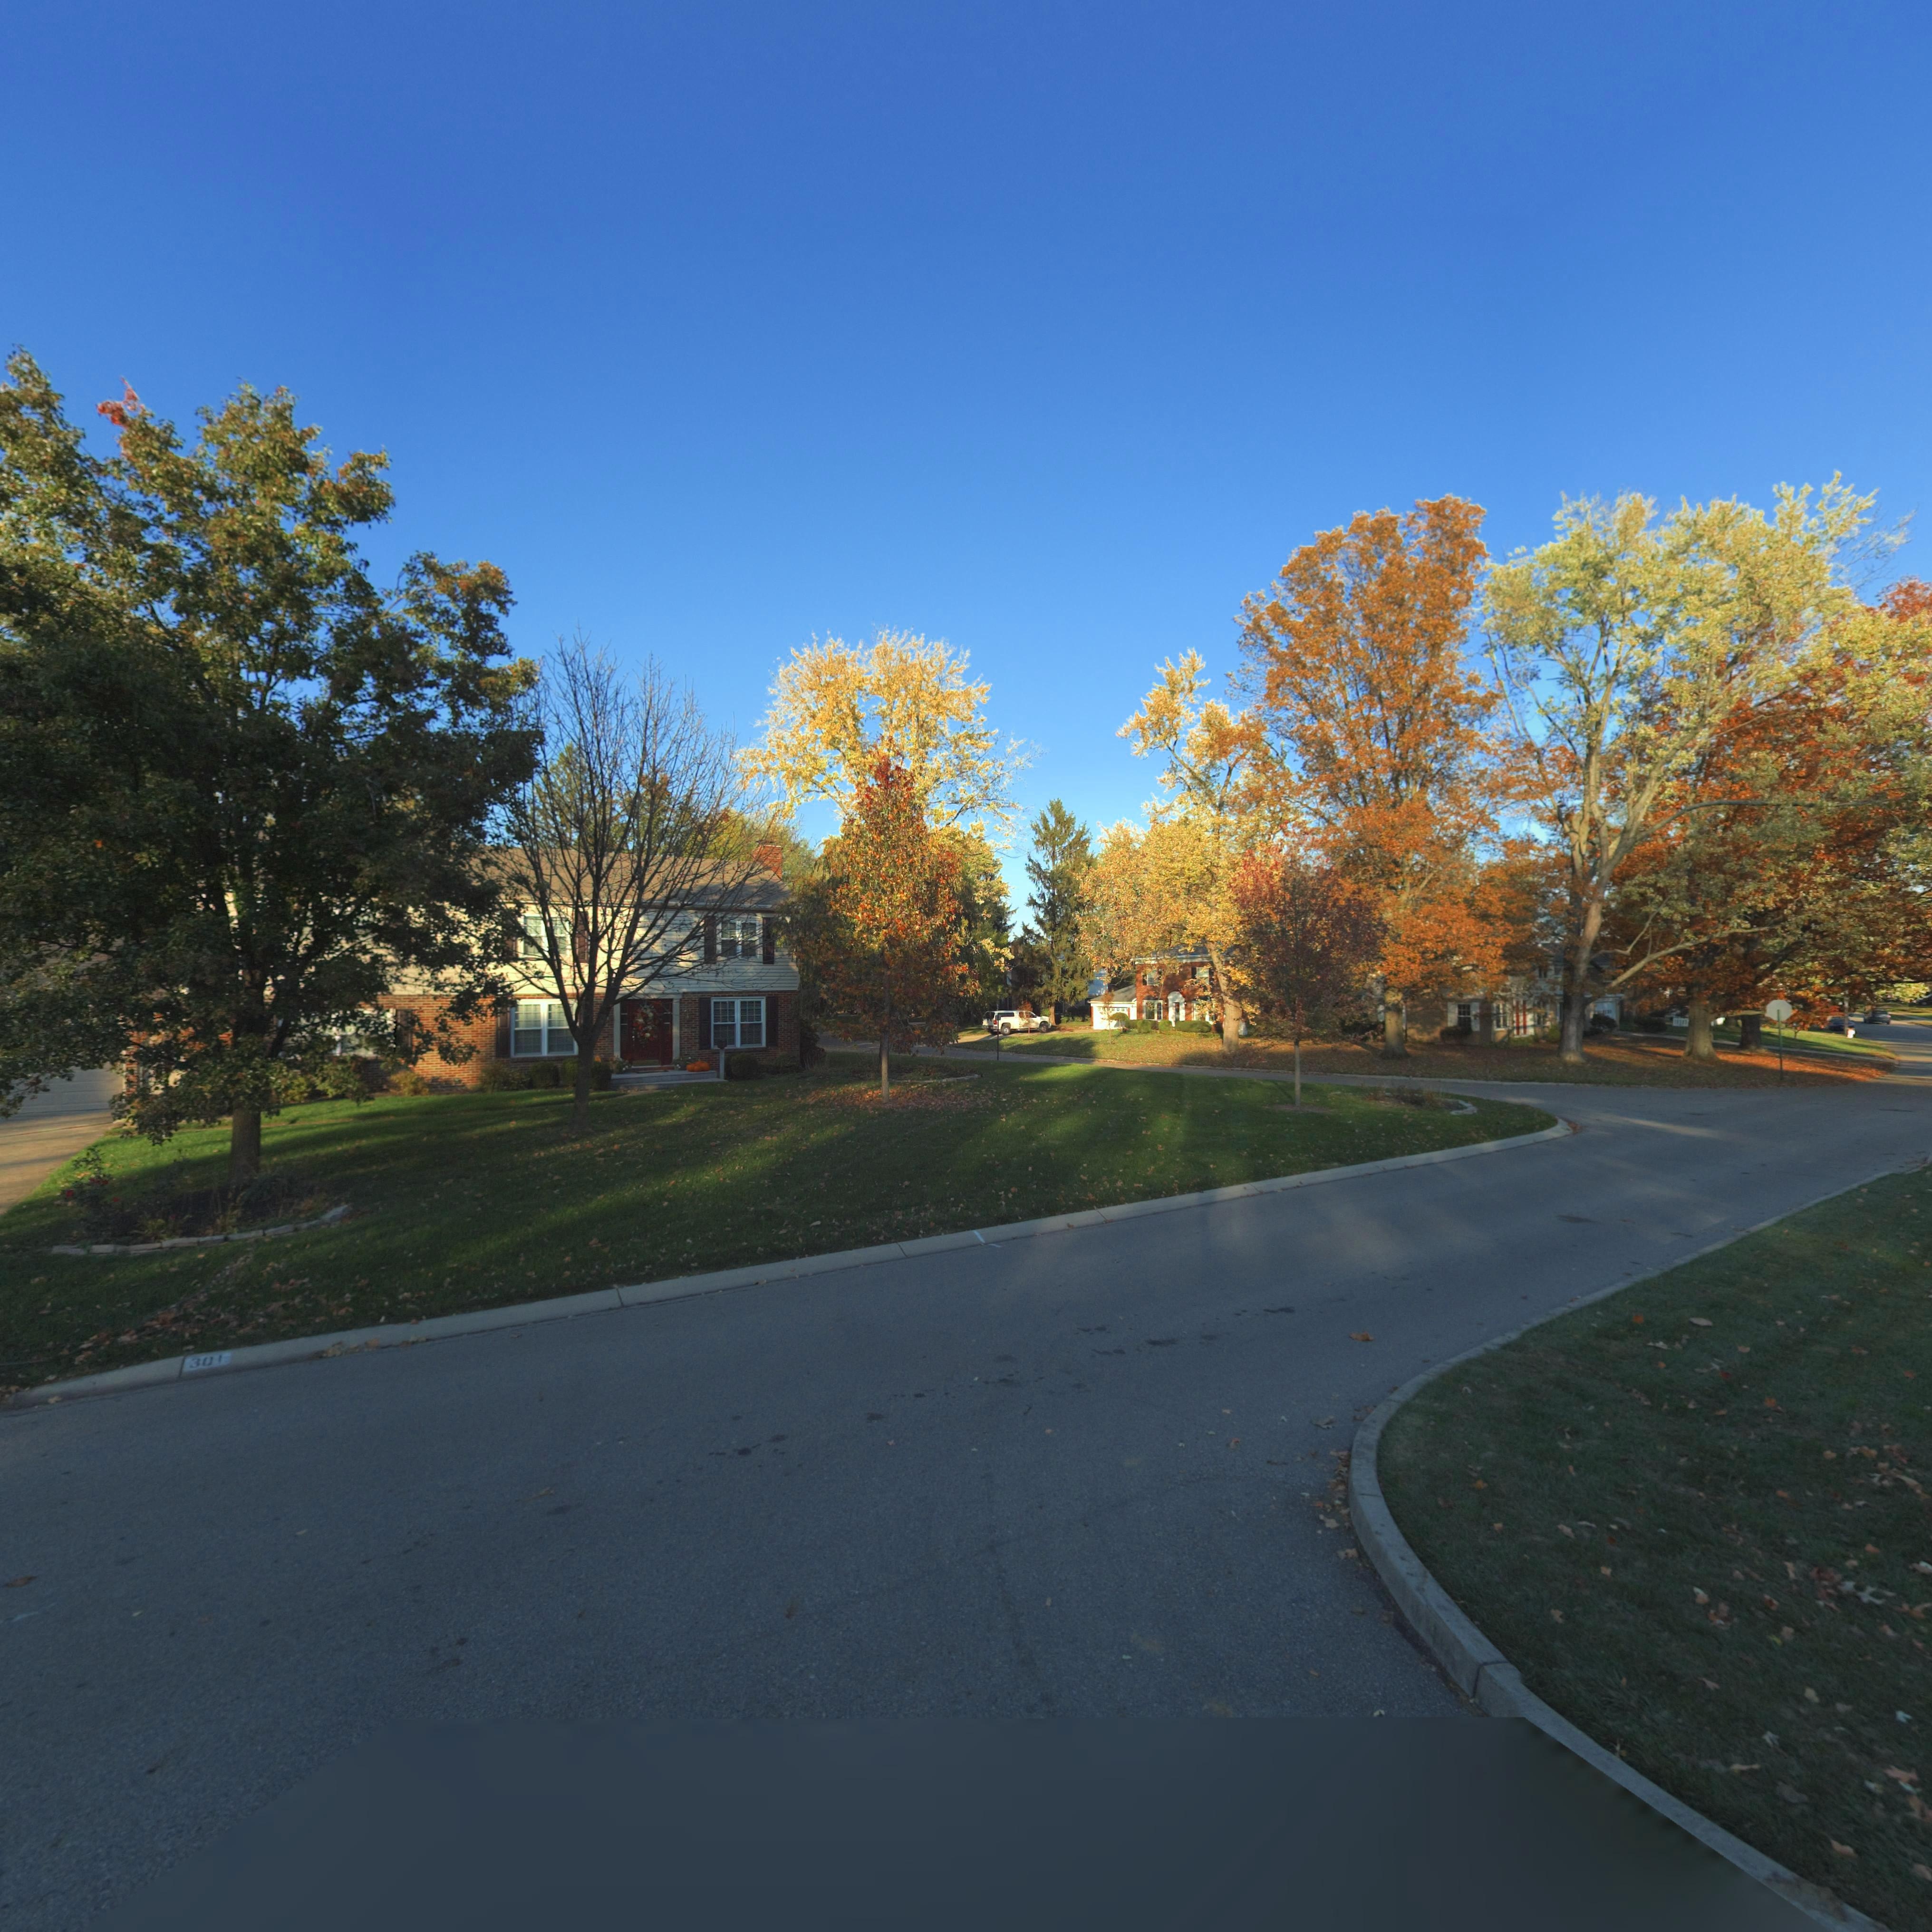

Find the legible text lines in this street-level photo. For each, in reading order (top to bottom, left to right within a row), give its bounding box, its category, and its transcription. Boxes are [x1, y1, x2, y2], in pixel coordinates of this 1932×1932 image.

[188, 1354, 223, 1370] StreetNumber: 301